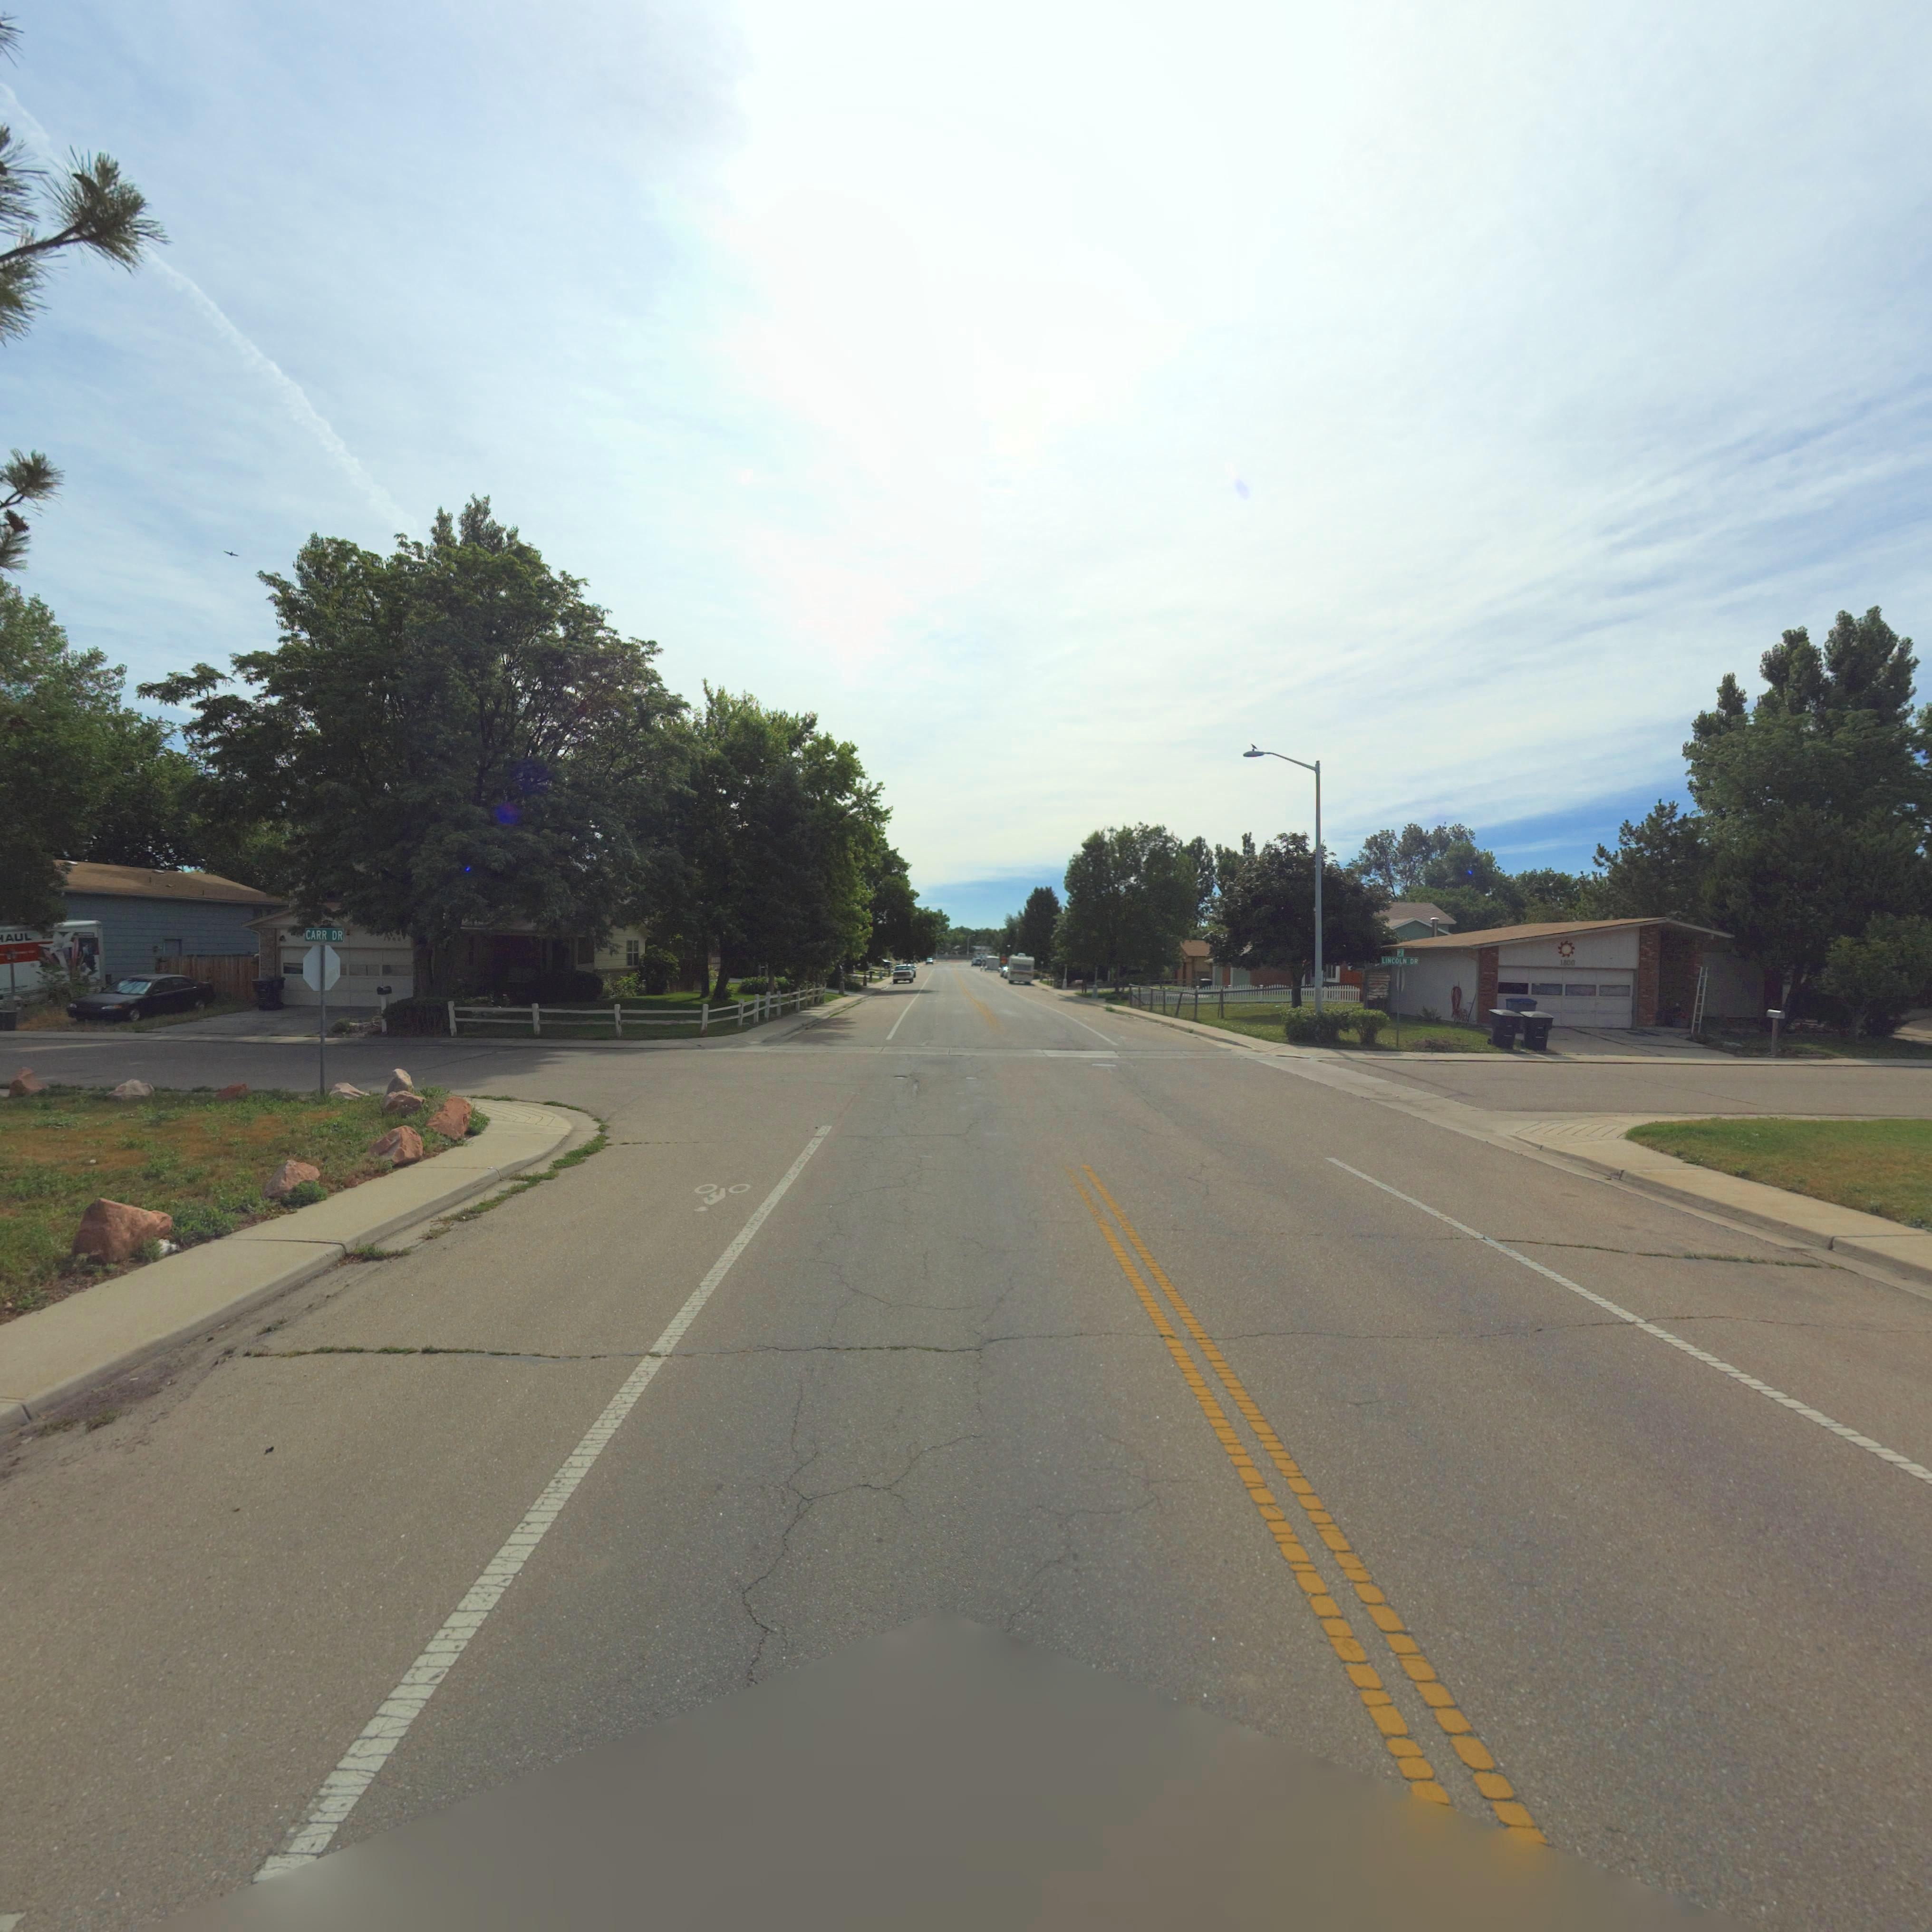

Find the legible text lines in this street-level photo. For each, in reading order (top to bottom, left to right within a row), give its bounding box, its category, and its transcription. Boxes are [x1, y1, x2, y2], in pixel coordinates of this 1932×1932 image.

[305, 929, 343, 941] StreetName: CARR DR
[1397, 950, 1403, 956] StreetName: ** AV
[1381, 957, 1418, 964] StreetName: LINCOLN DR
[1560, 959, 1575, 966] StreetNumber: 1800